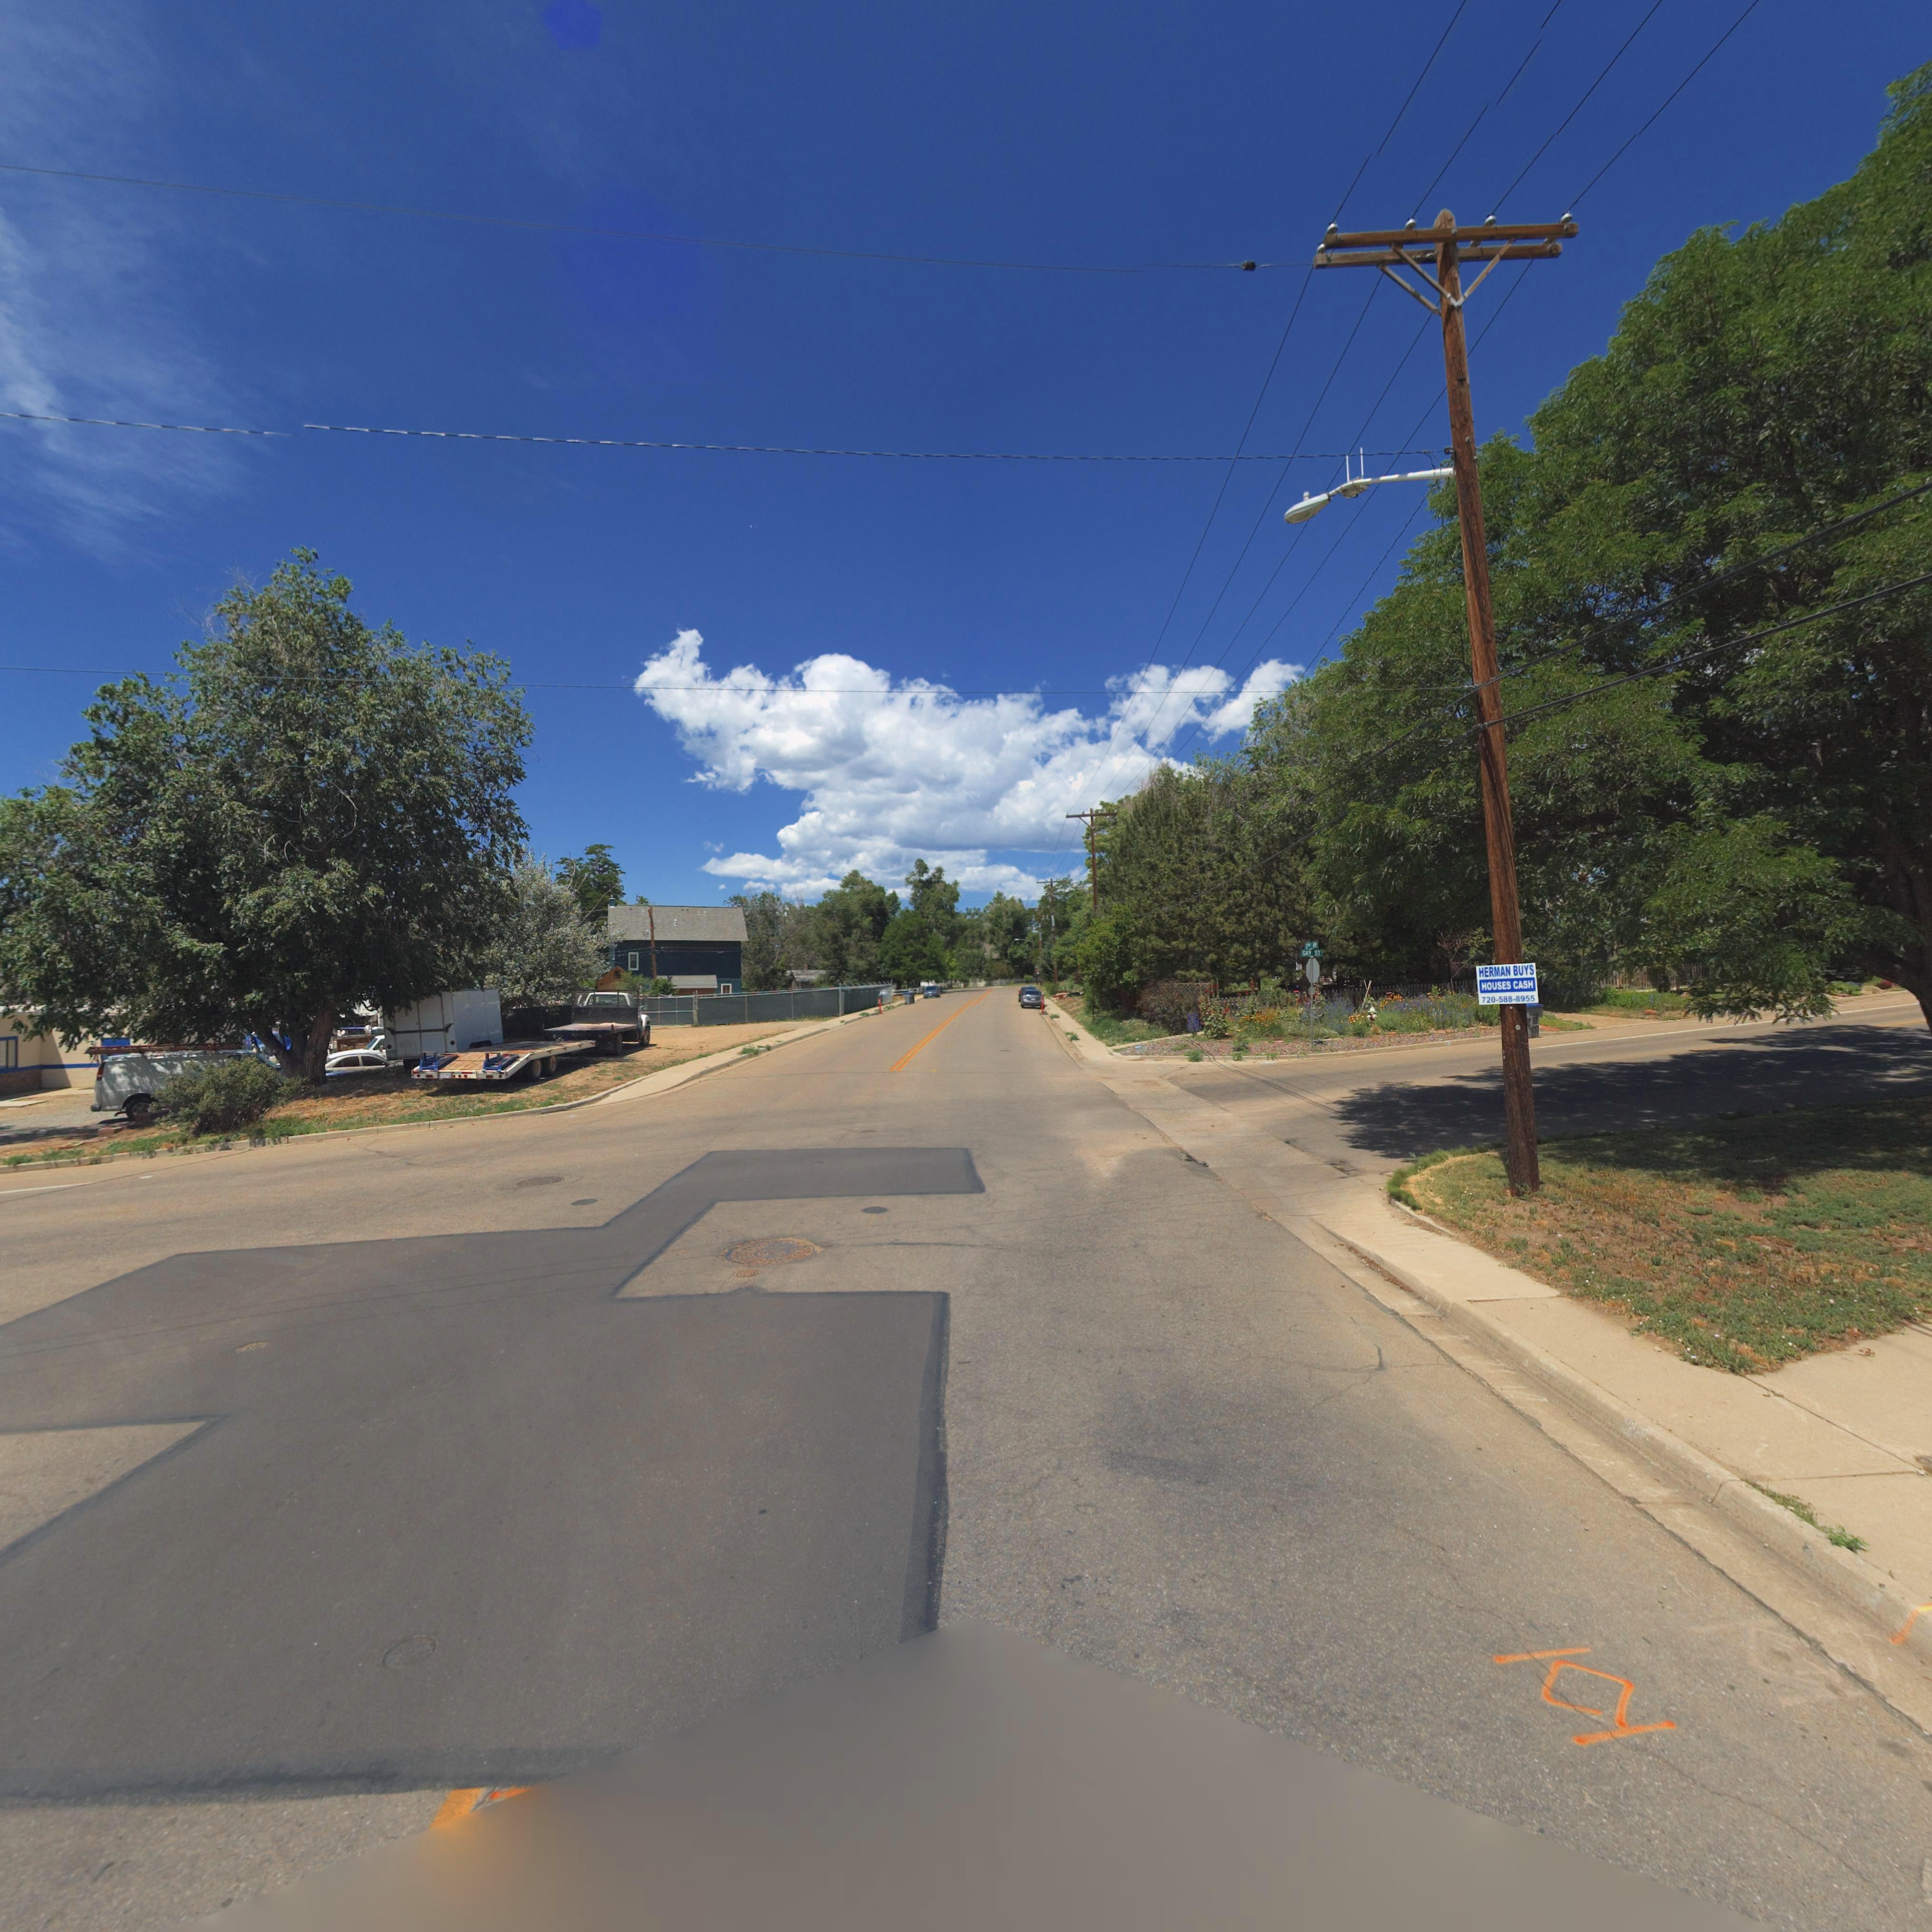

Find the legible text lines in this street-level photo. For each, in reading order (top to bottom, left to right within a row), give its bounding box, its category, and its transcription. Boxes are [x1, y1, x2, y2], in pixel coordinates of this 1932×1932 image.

[1305, 942, 1317, 949] StreetName: 2ND AV
[1302, 950, 1321, 956] StreetName: GAY ST